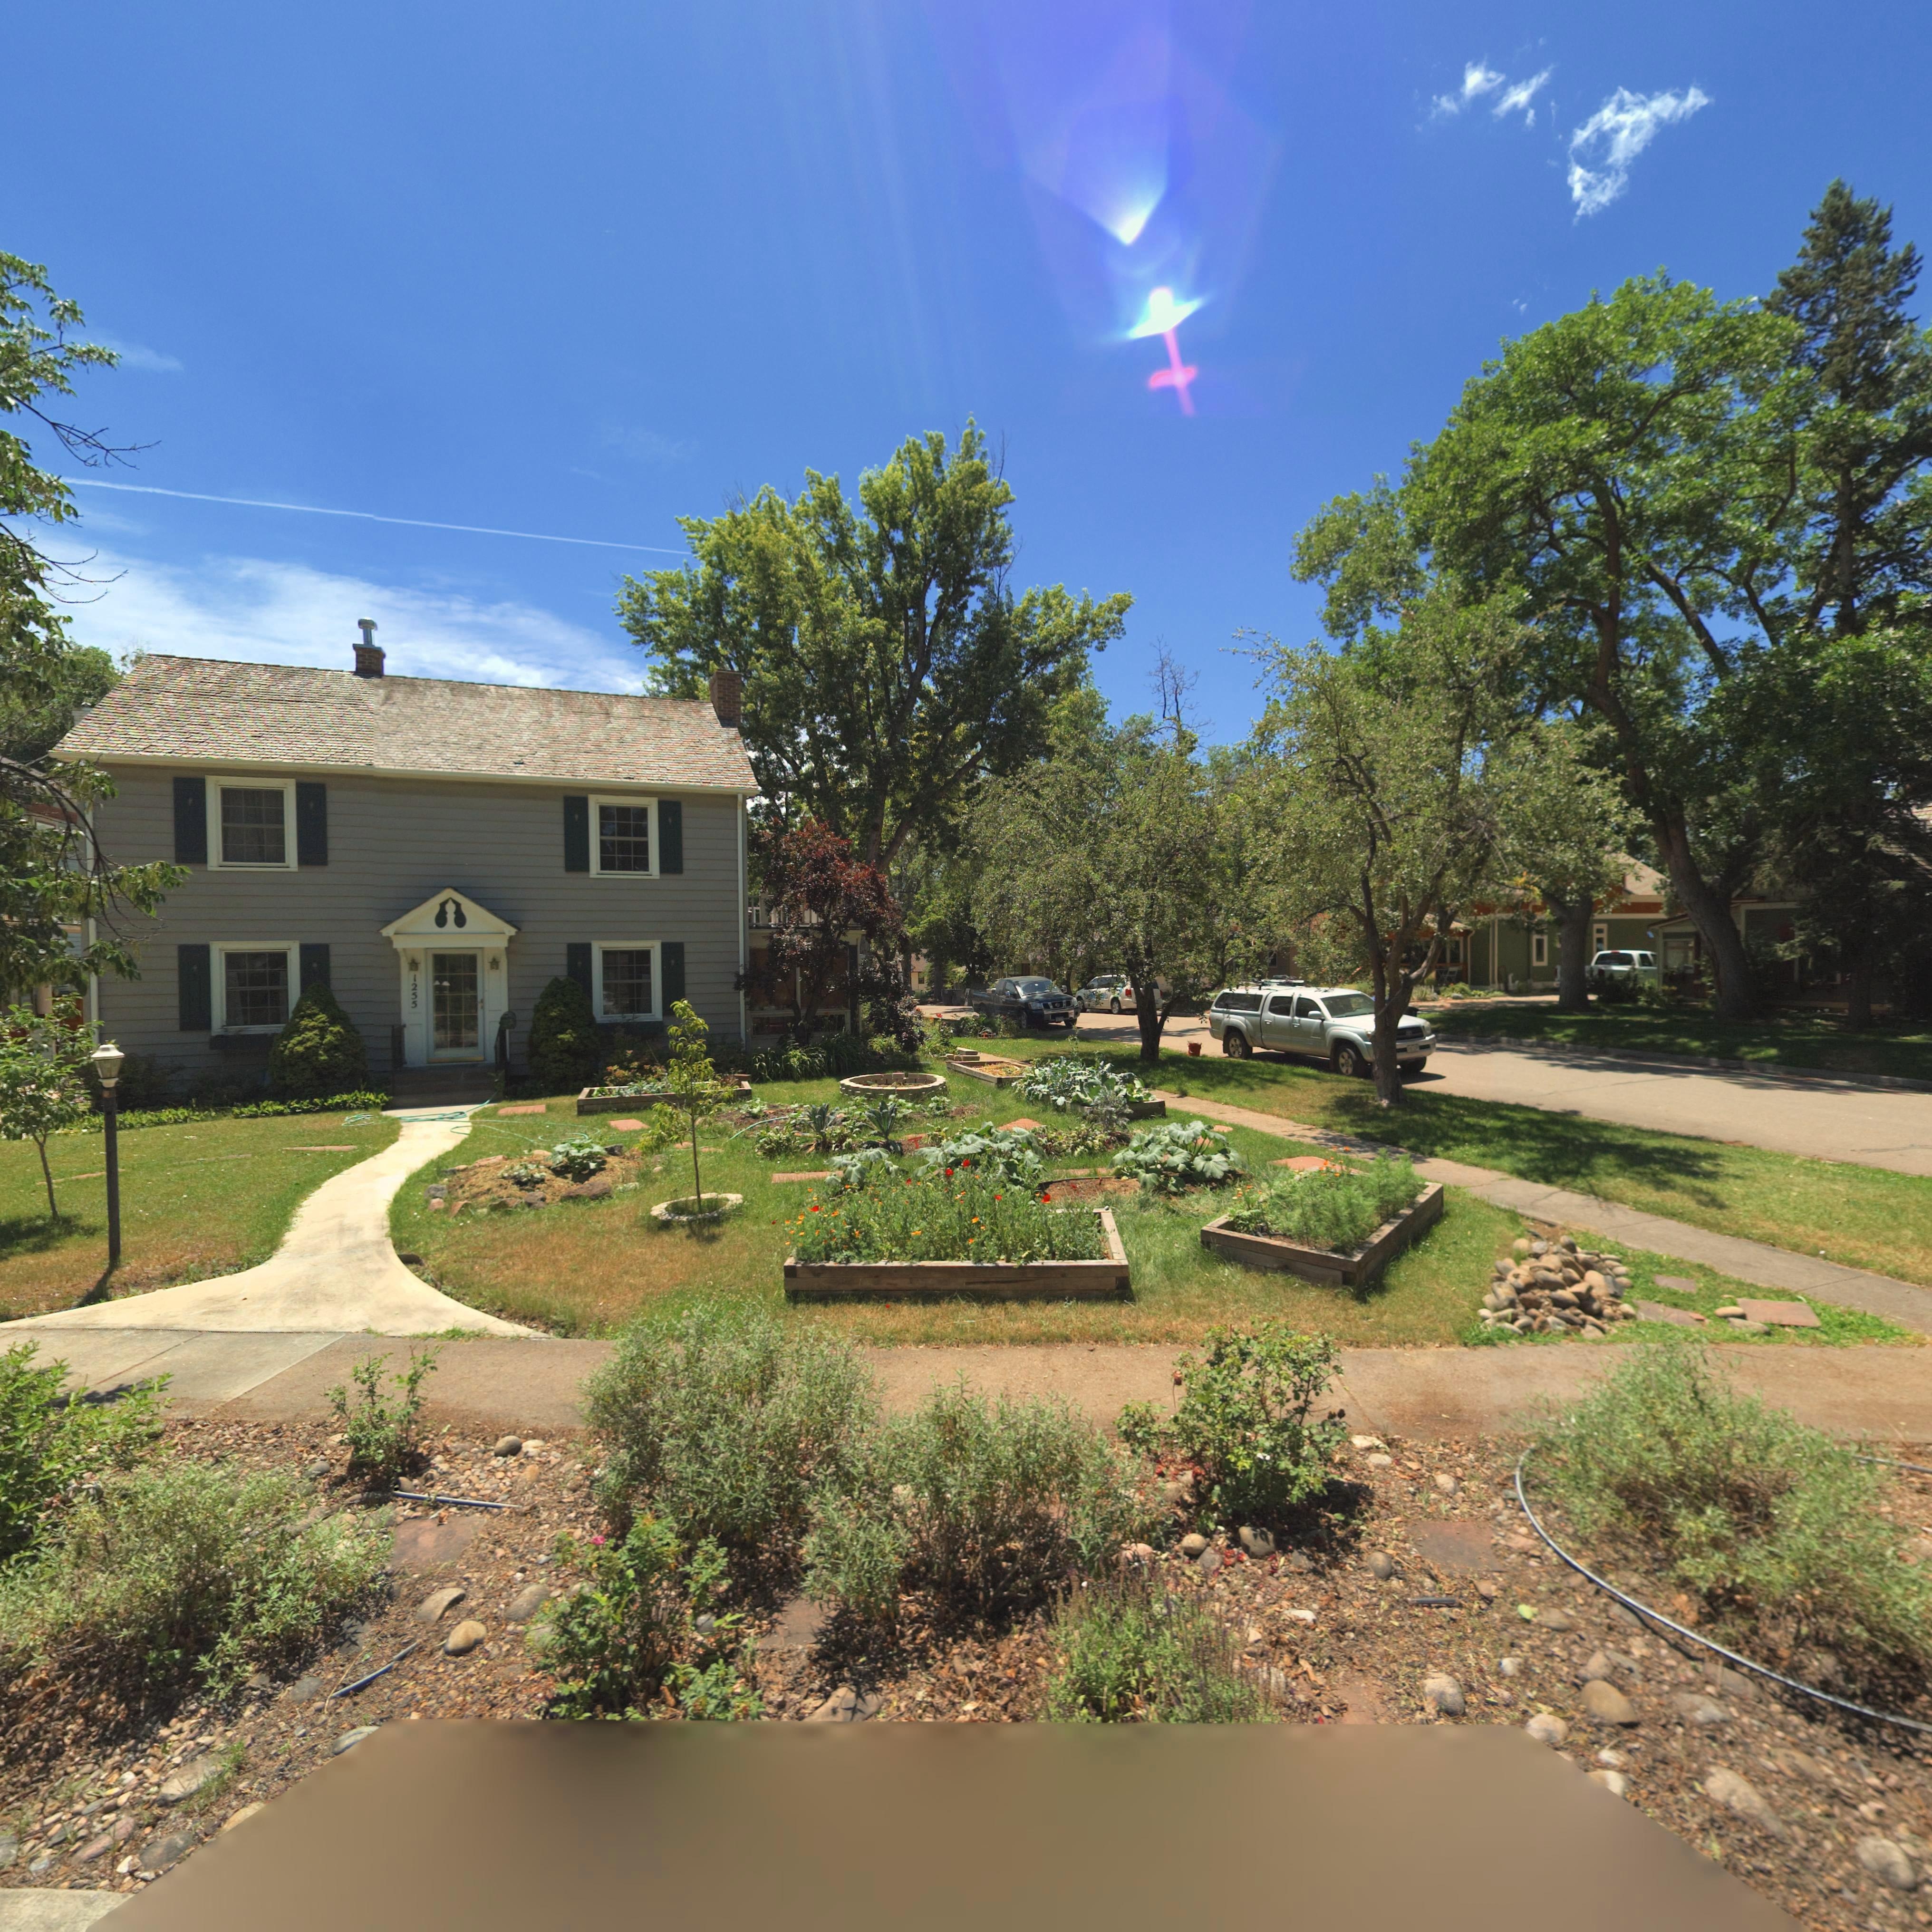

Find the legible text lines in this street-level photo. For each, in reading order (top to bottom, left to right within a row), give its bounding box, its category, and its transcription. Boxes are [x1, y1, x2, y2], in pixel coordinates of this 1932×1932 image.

[410, 974, 417, 1008] StreetNumber: 1255